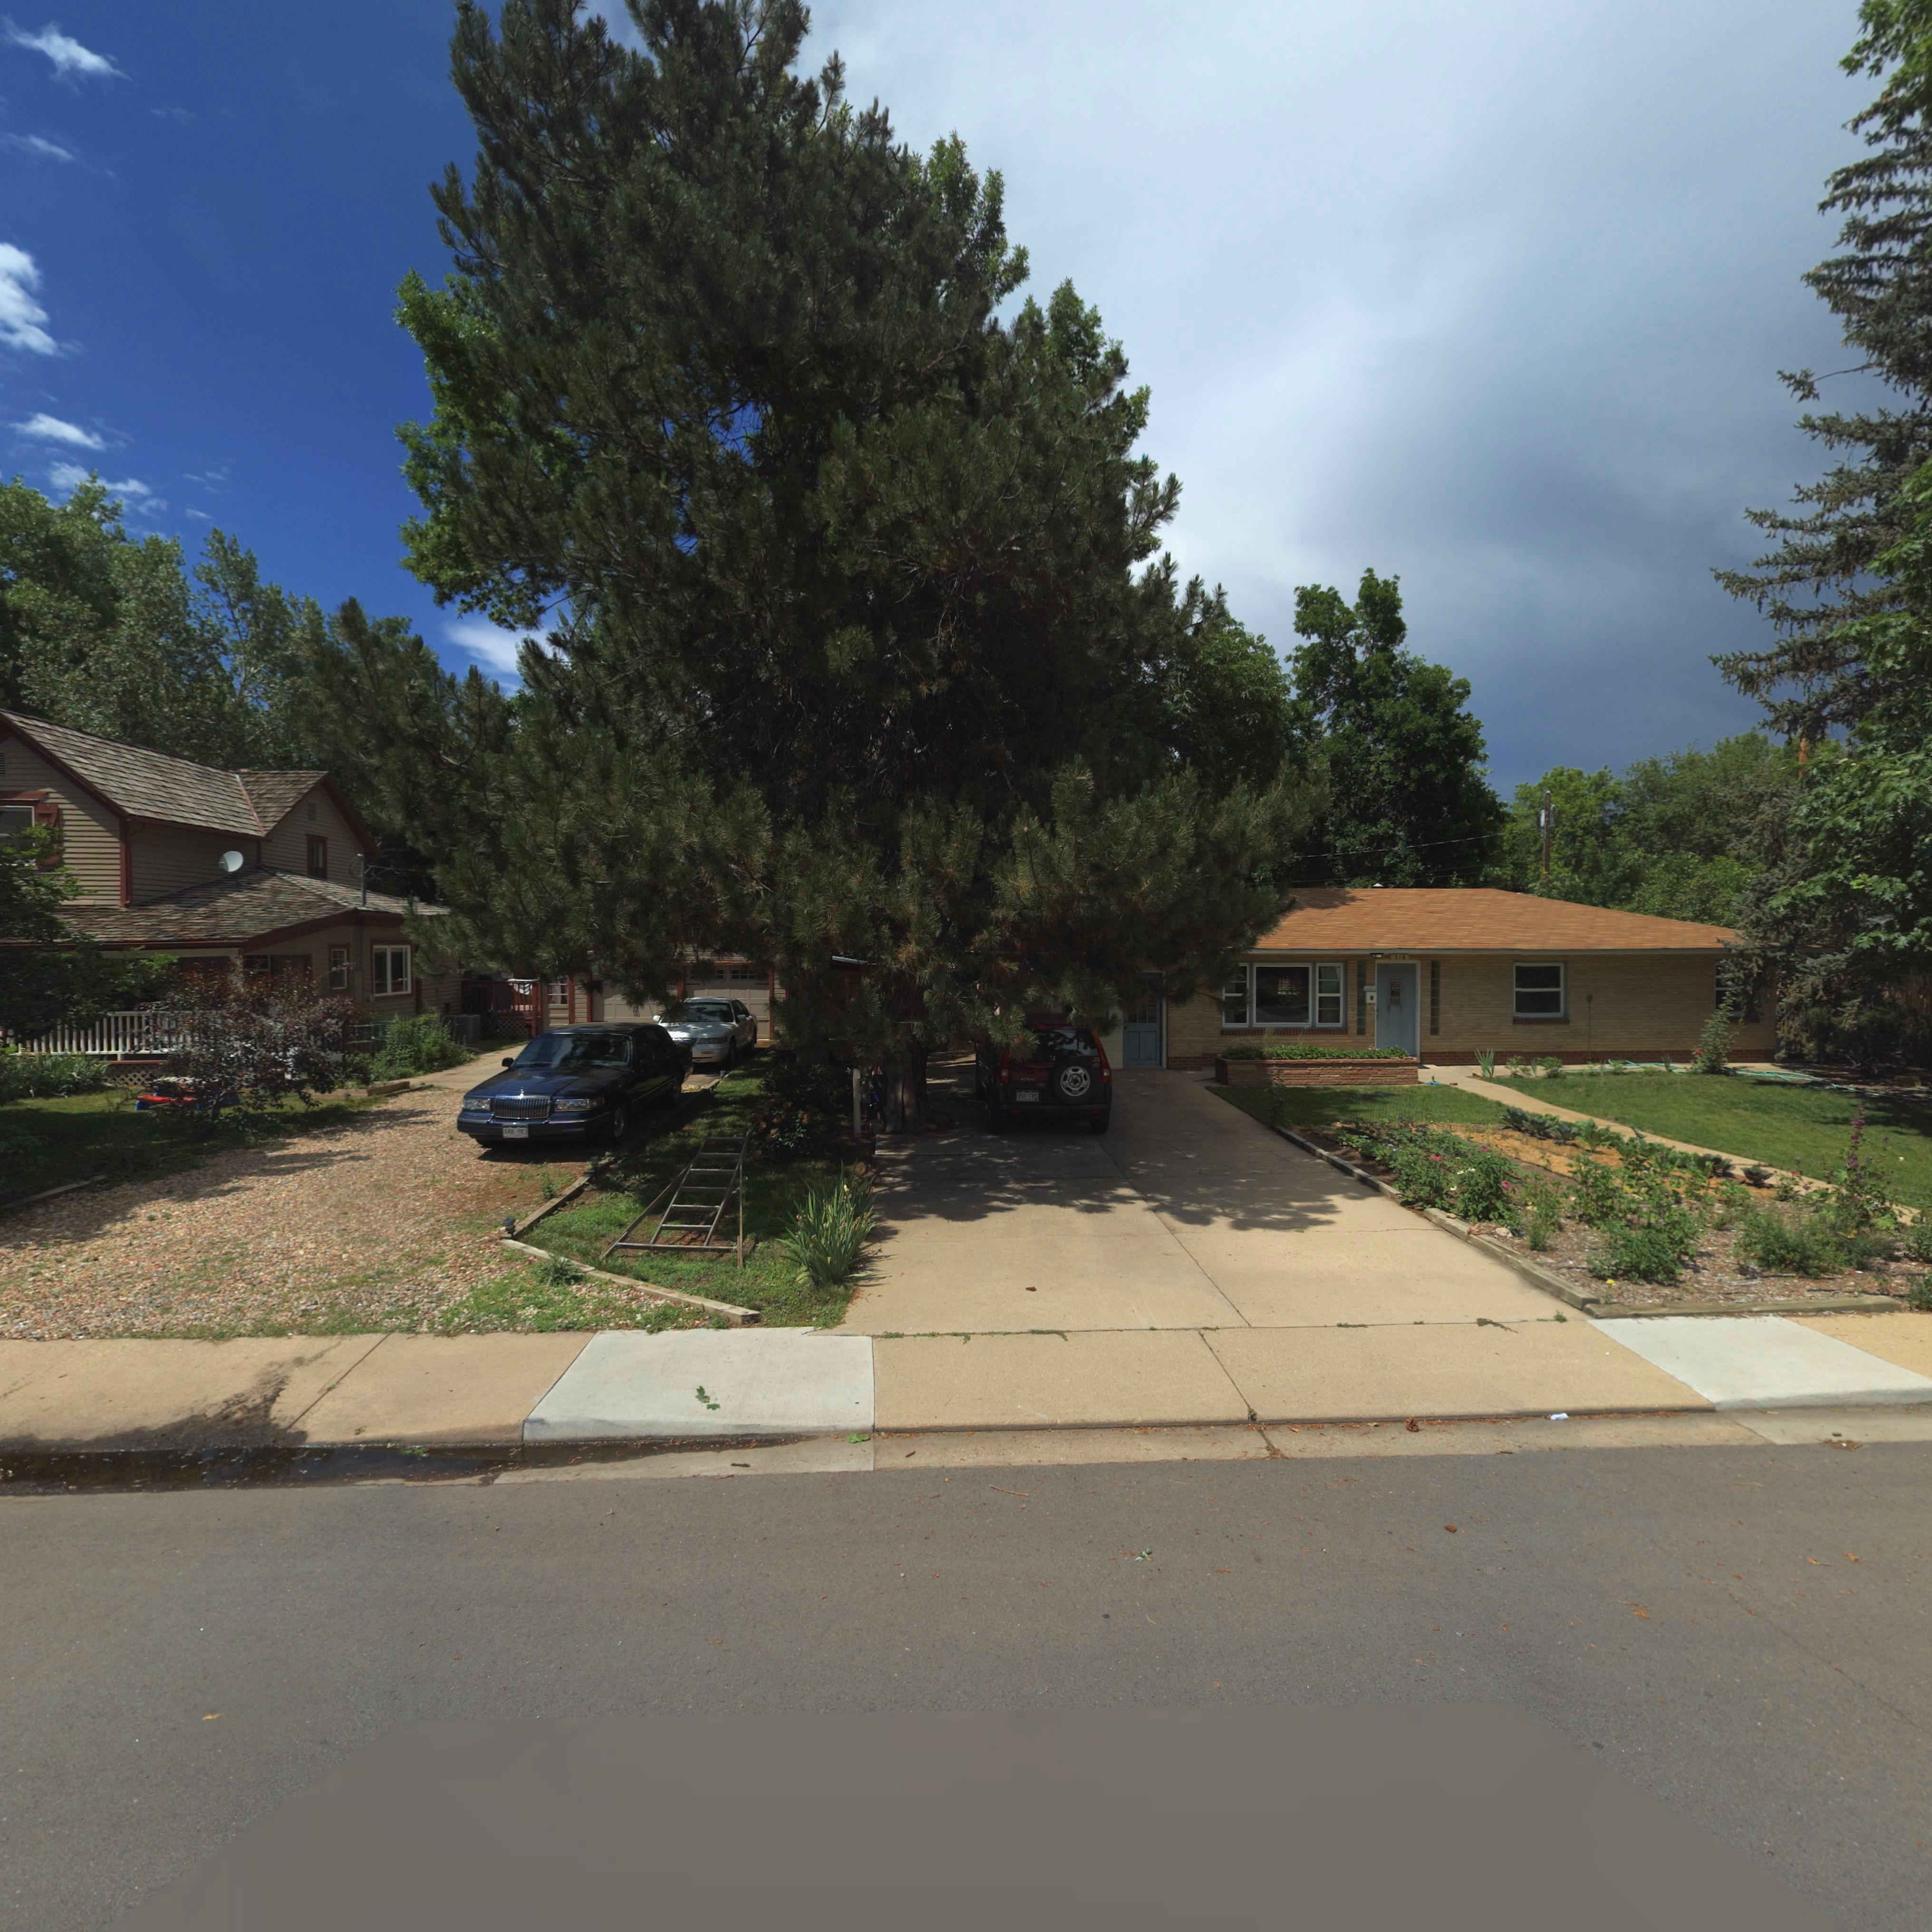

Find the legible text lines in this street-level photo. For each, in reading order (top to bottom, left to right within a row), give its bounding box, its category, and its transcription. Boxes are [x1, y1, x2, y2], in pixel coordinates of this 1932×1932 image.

[1394, 954, 1406, 959] StreetNumber: 316